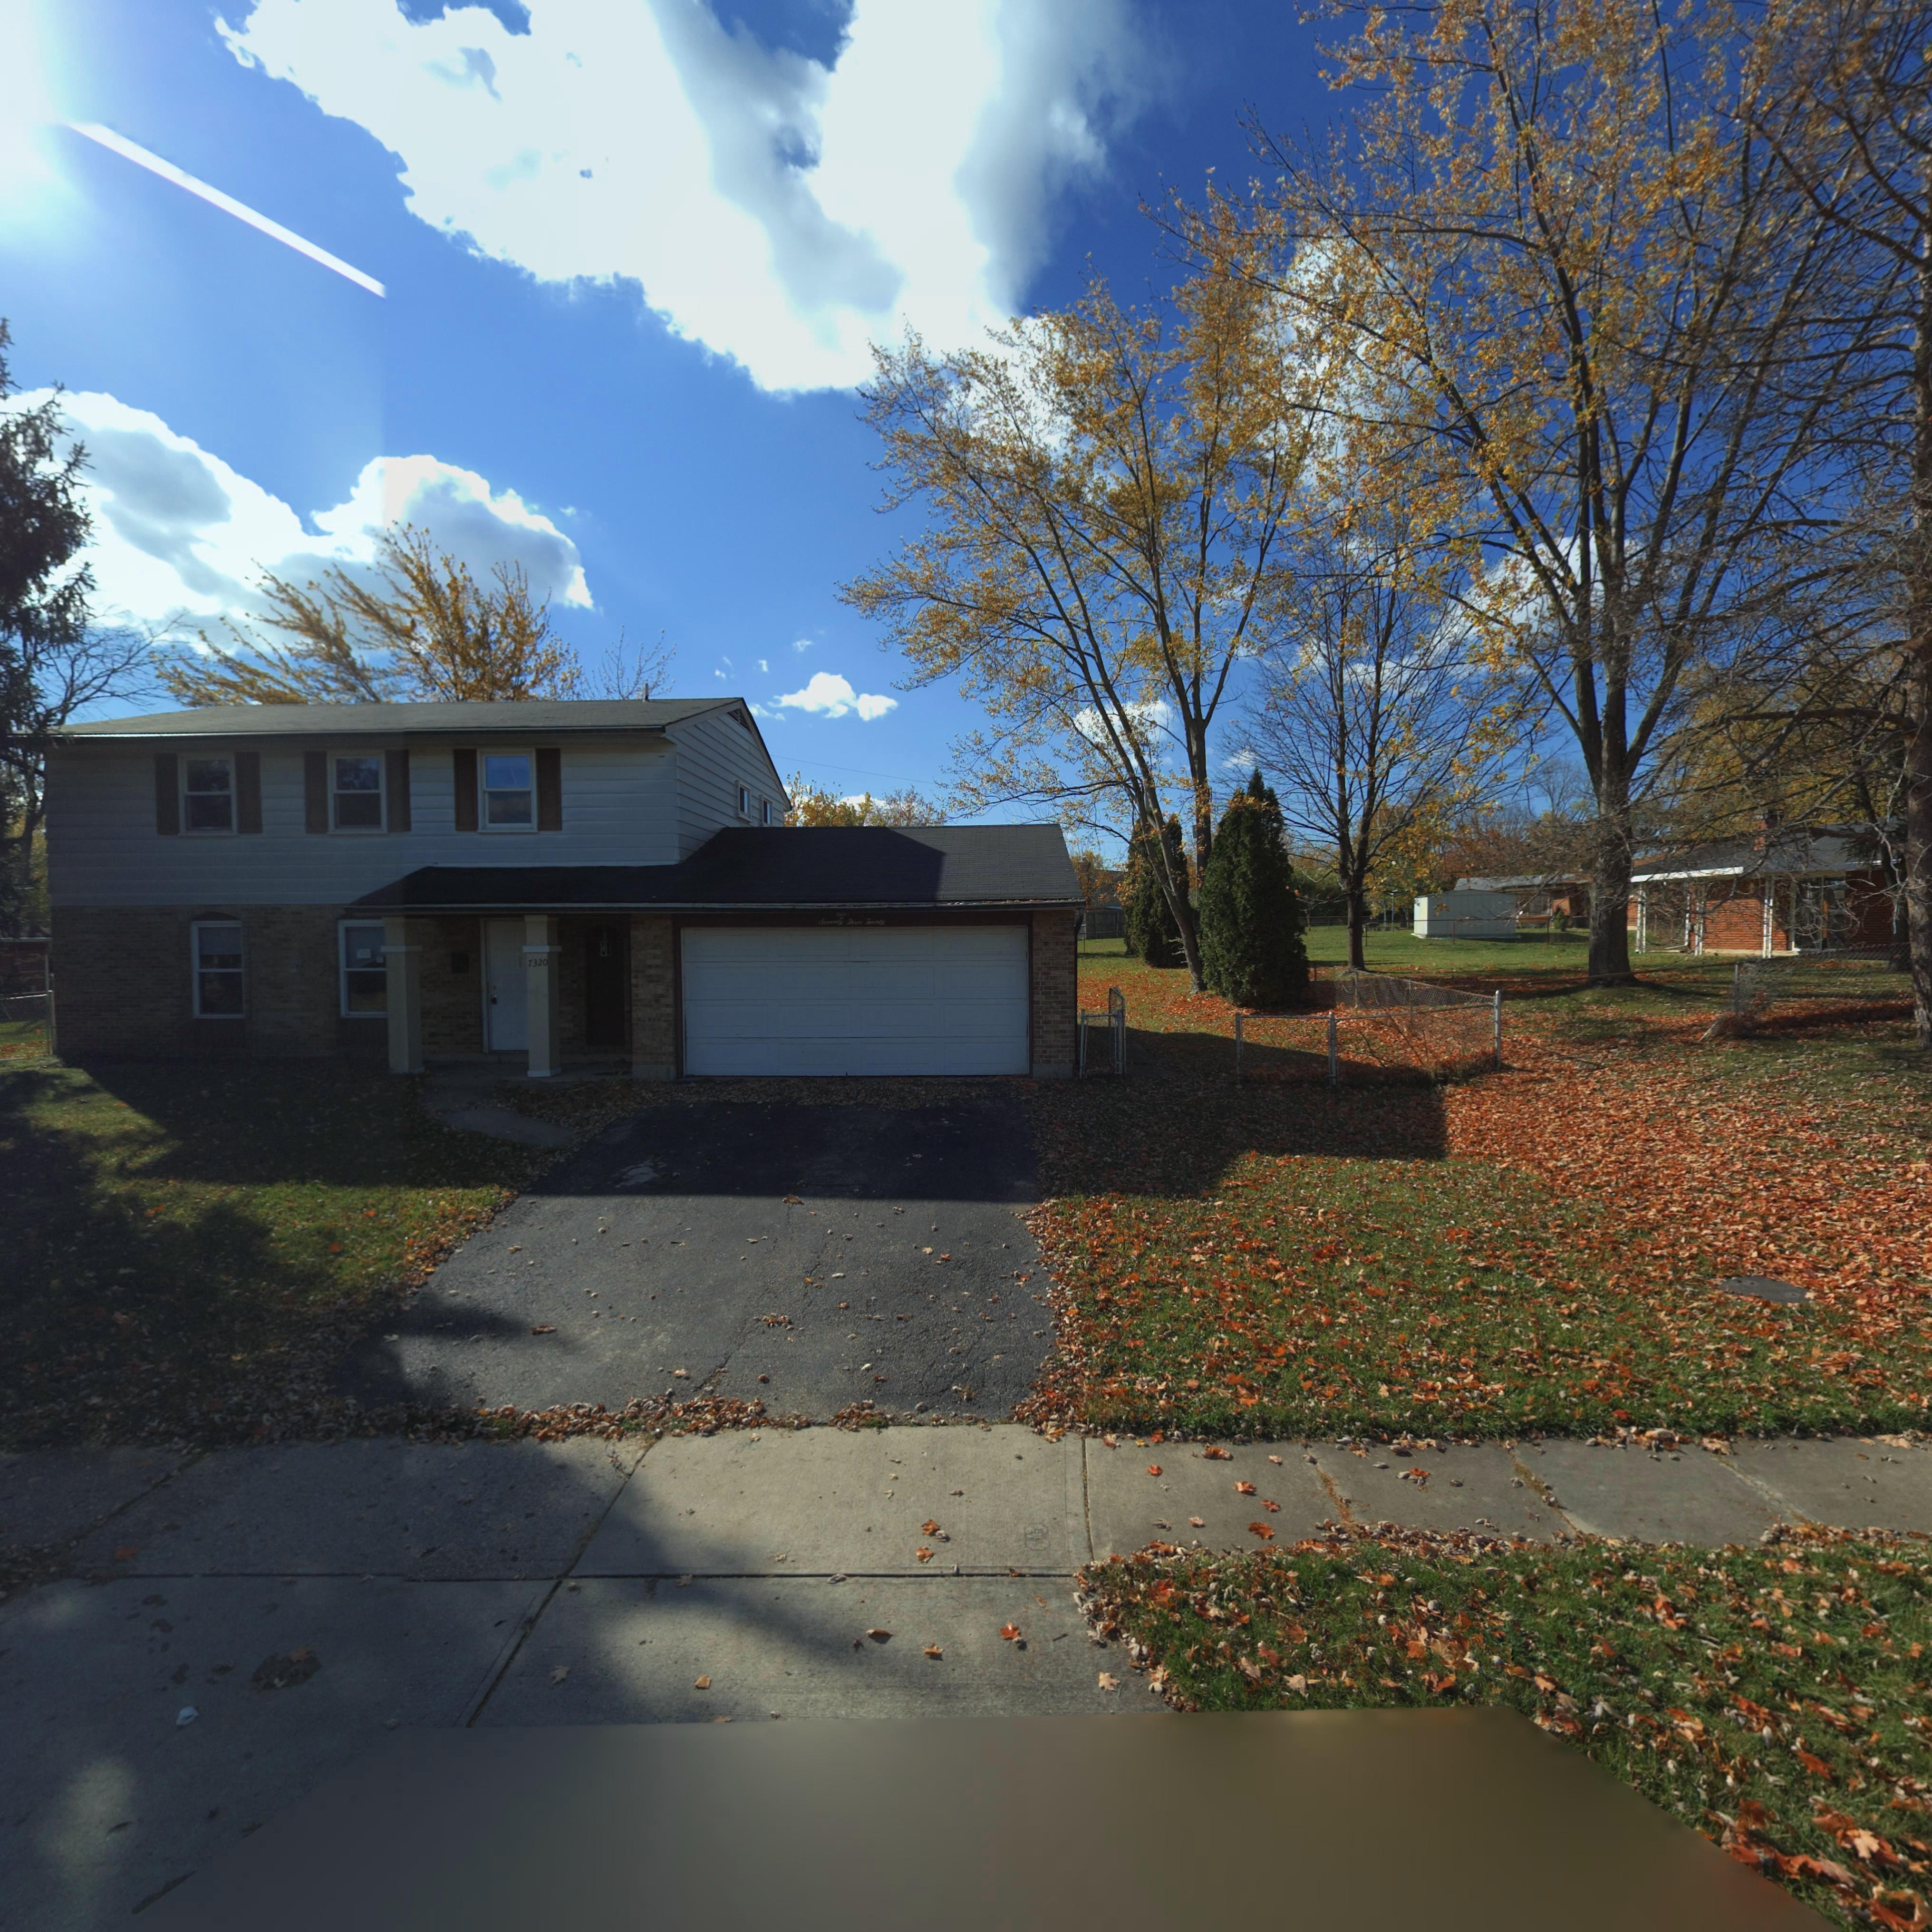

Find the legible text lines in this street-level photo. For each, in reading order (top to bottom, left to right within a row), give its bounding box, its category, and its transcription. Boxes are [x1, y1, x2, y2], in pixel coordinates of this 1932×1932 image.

[526, 957, 549, 968] StreetNumber: 7320